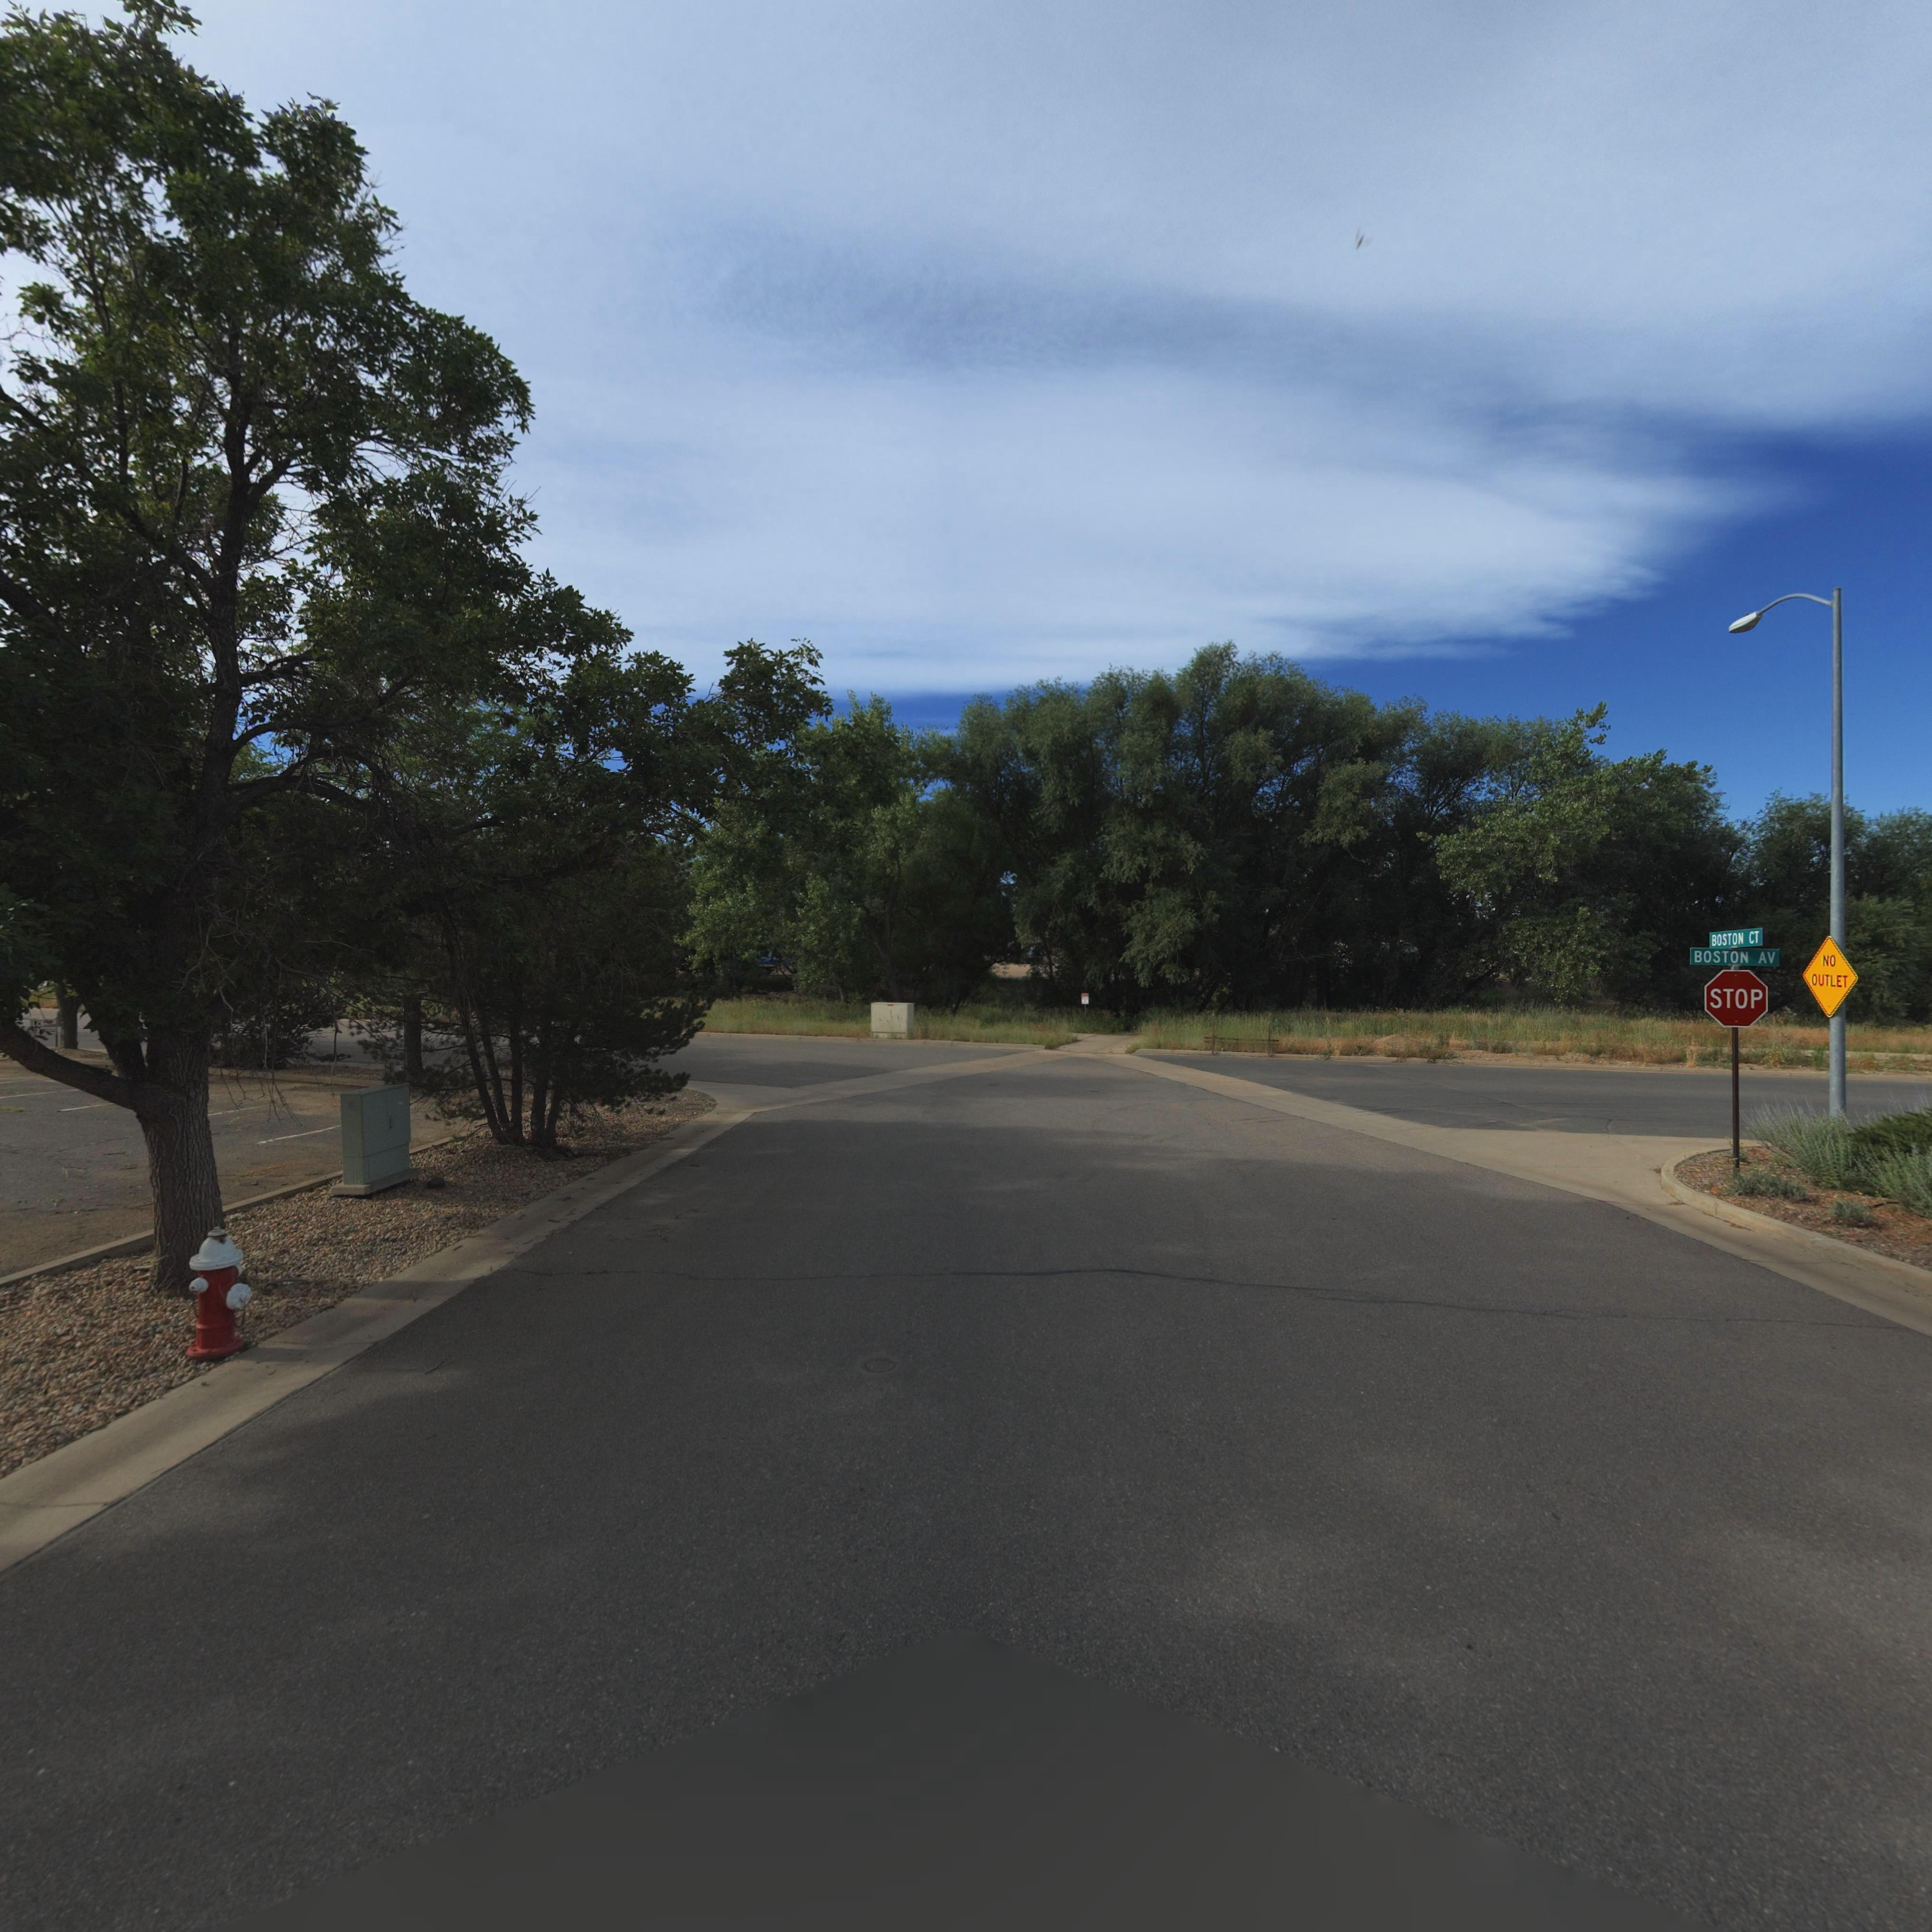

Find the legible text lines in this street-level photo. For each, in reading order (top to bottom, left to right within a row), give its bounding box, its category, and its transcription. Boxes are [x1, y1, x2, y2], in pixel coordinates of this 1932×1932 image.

[1711, 930, 1759, 947] StreetName: BOSTON CT
[1694, 950, 1776, 964] StreetName: BOSTON AV